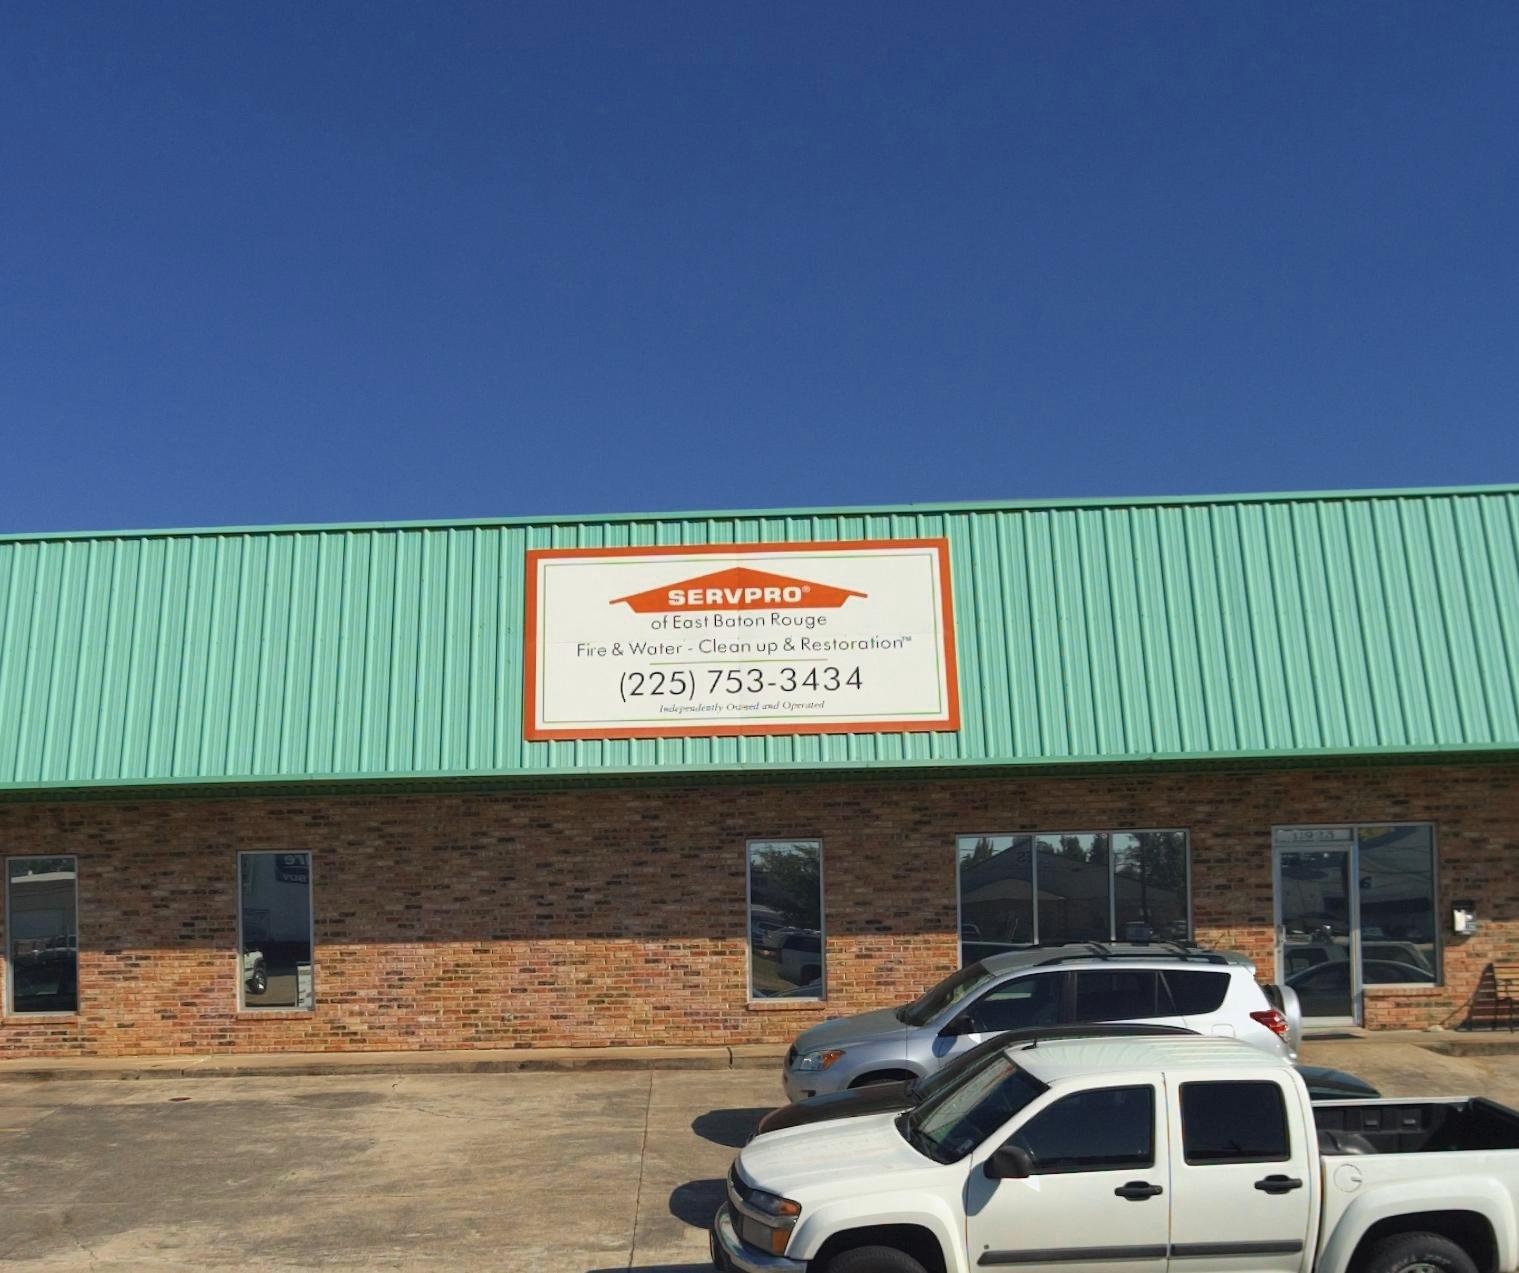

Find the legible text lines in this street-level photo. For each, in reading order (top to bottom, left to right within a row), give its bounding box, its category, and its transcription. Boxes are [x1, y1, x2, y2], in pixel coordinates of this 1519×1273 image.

[666, 584, 804, 608] BusinessName: SERVPRO
[647, 609, 830, 632] None: of East Baton Rouge
[575, 632, 906, 660] None: Fire & Water-Cleaning up & Restoration
[616, 663, 865, 706] None: (225) 753-3434
[723, 701, 738, 714] None: O
[779, 698, 794, 712] None: O
[1290, 828, 1337, 842] StreetNumber: 19**
[1356, 872, 1376, 892] None: 6